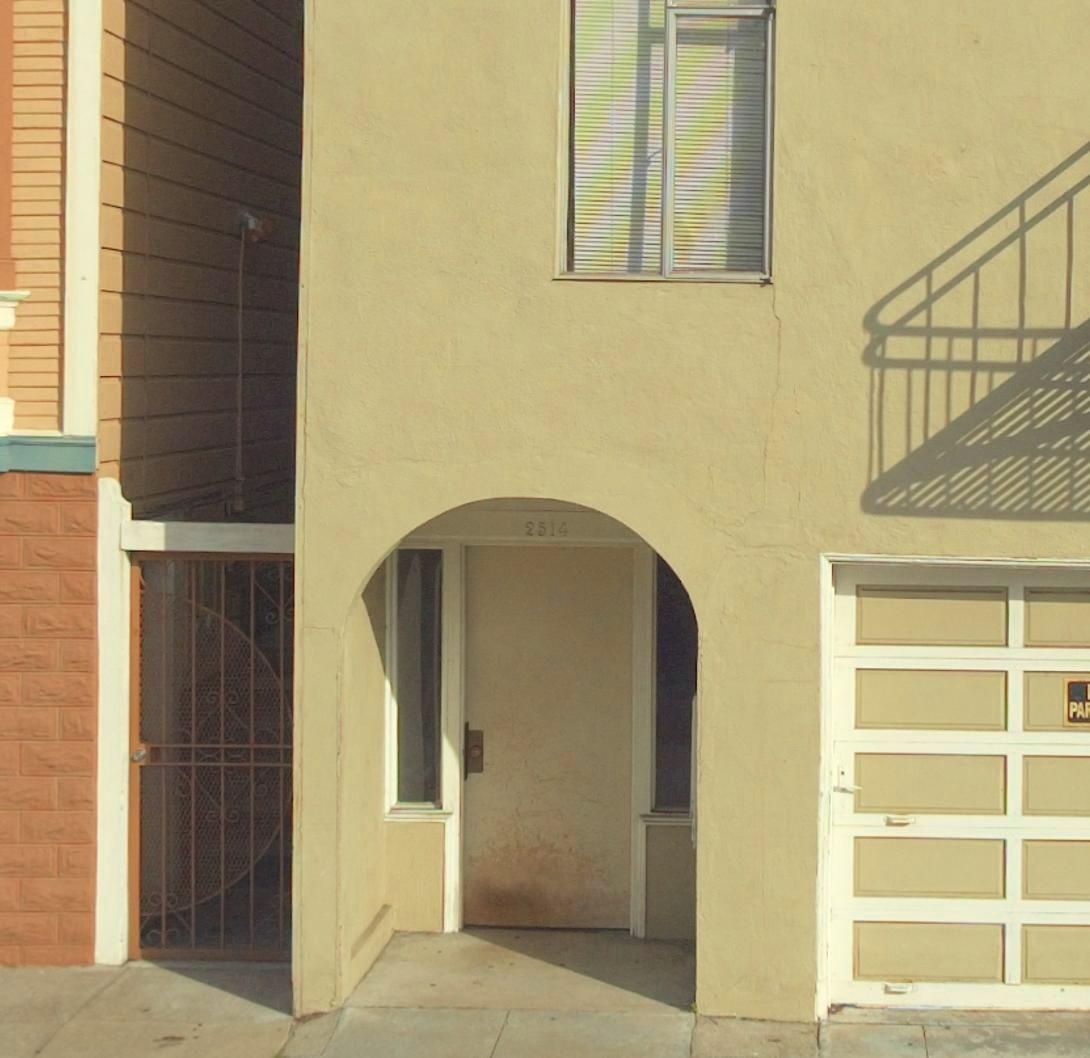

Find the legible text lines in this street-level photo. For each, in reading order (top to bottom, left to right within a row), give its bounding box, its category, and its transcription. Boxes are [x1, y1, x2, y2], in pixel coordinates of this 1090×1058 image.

[522, 518, 571, 539] StreetNumber: 2514
[1067, 699, 1088, 720] None: PA